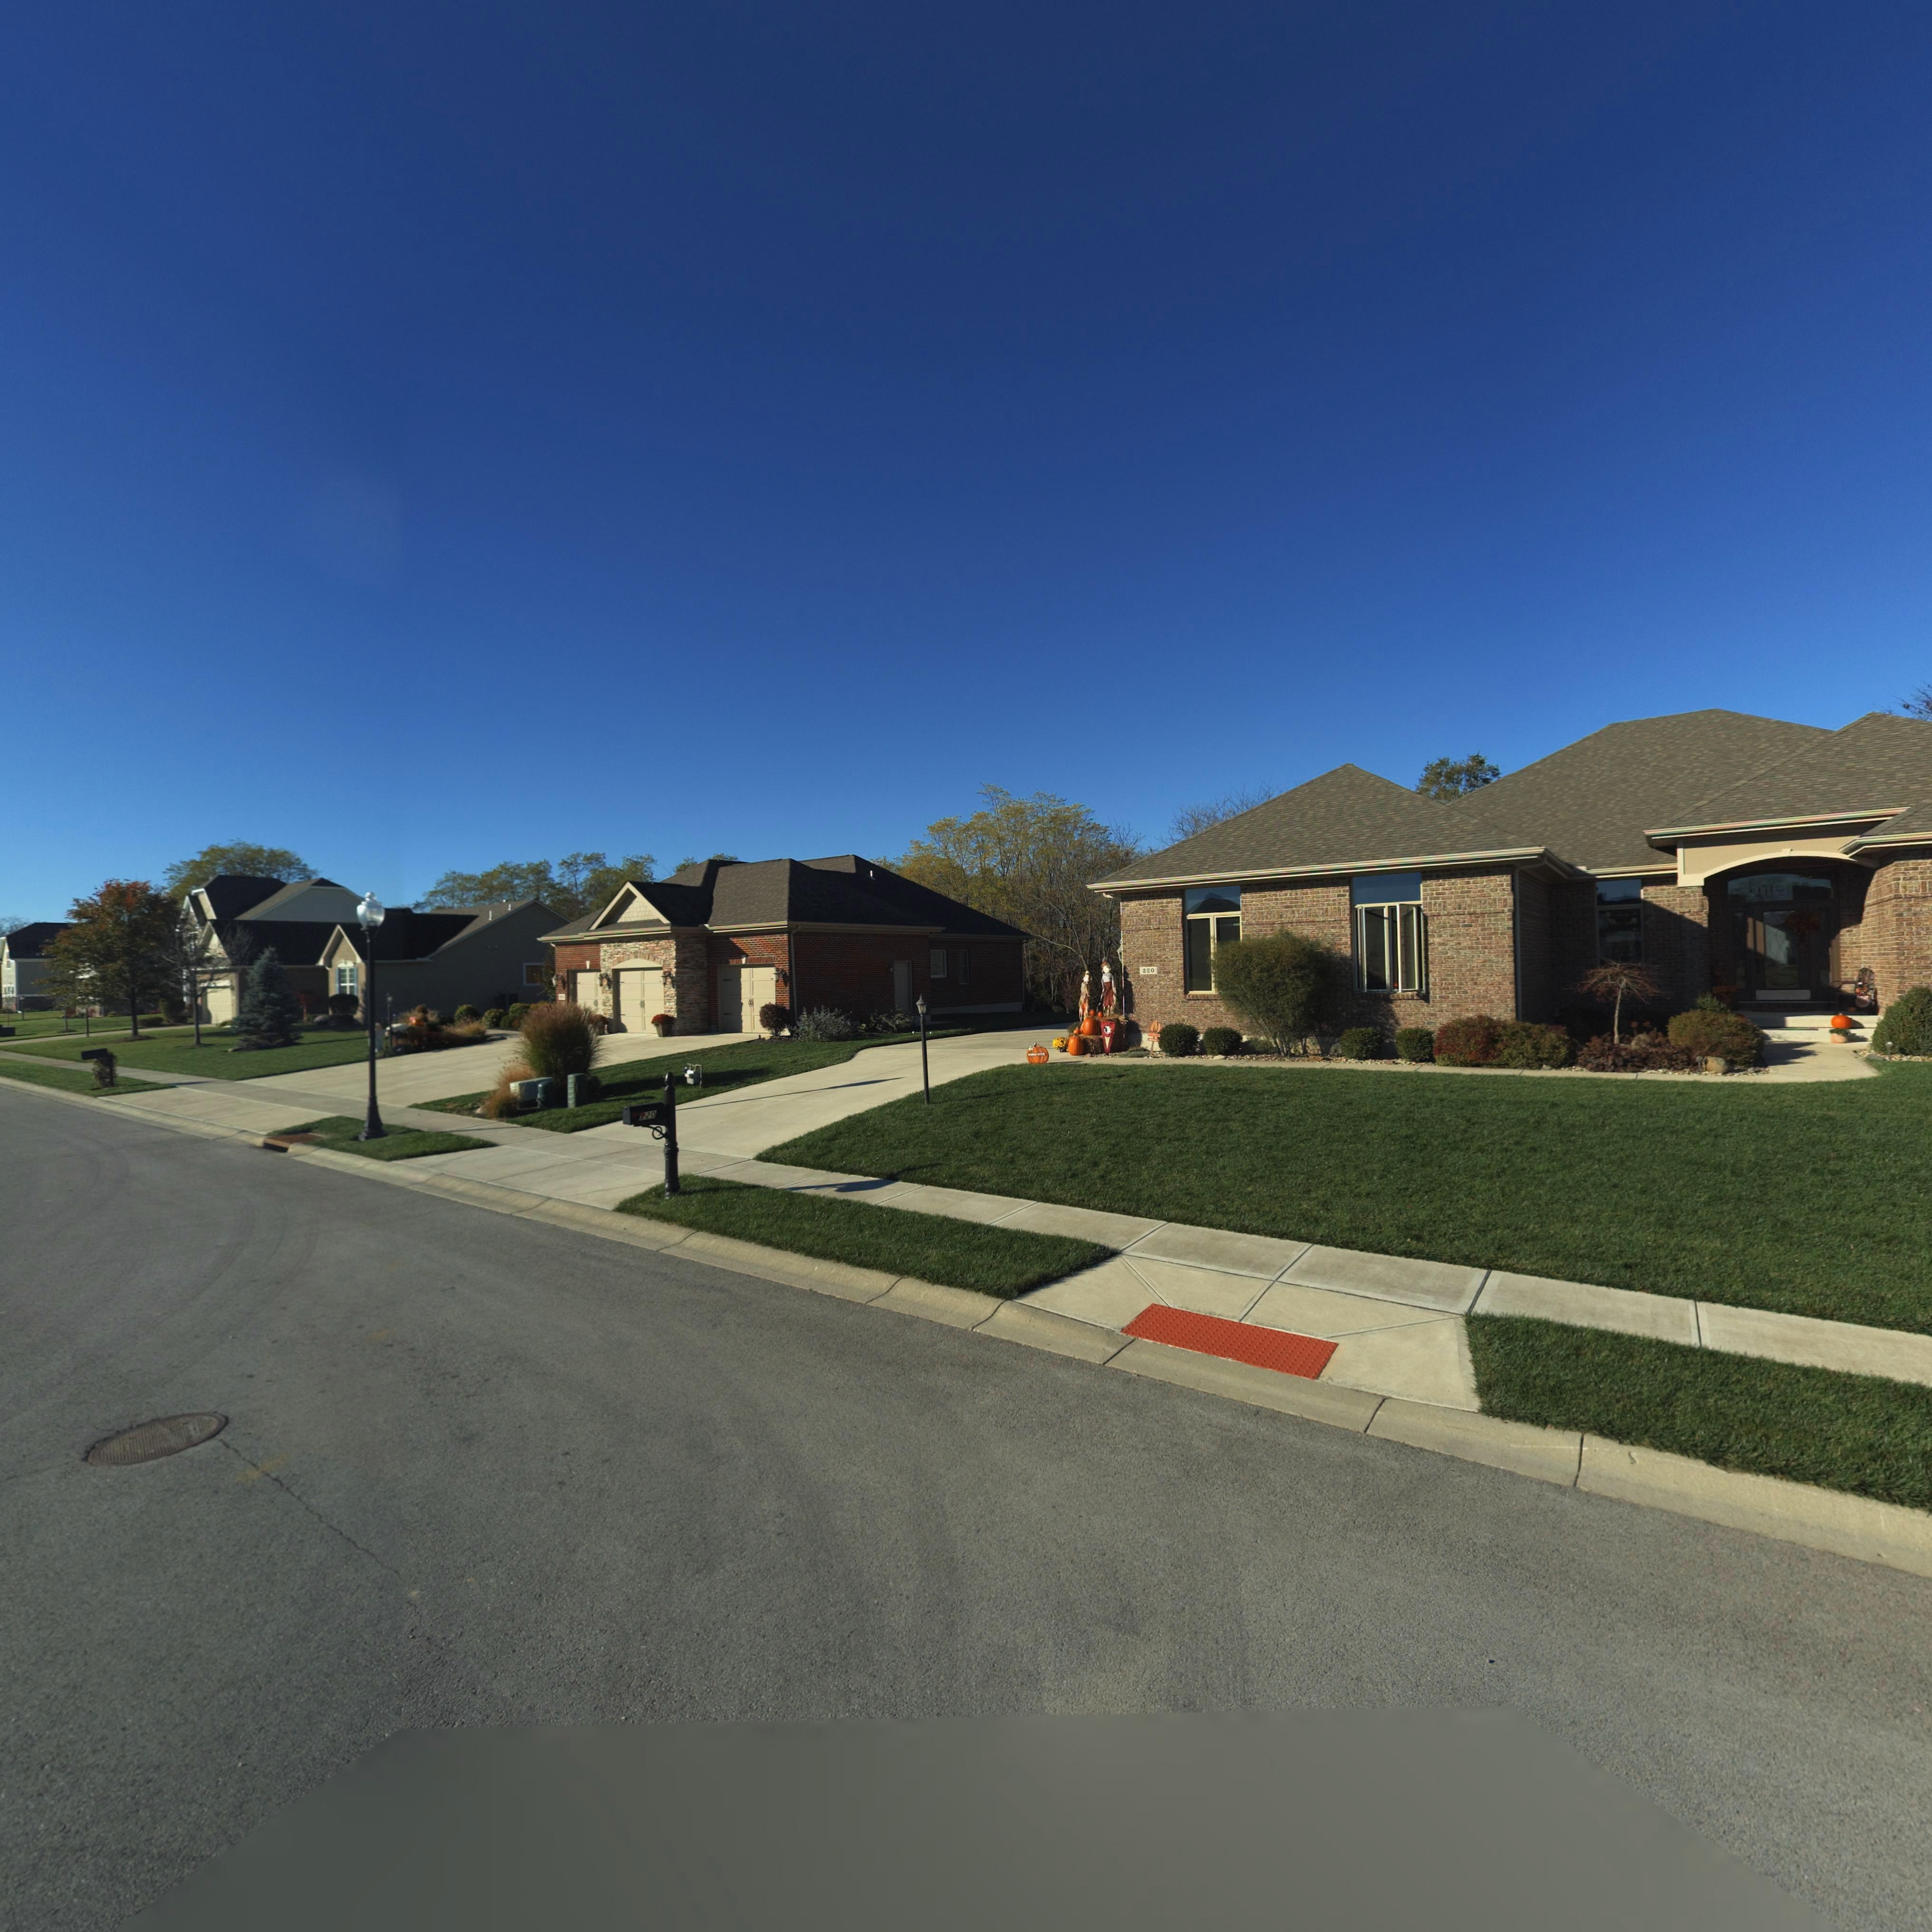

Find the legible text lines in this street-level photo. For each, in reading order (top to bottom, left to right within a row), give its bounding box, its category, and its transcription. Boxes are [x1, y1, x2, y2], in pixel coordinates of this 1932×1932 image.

[1142, 967, 1155, 974] StreetNumber: 220
[645, 1110, 657, 1120] StreetNumber: 20